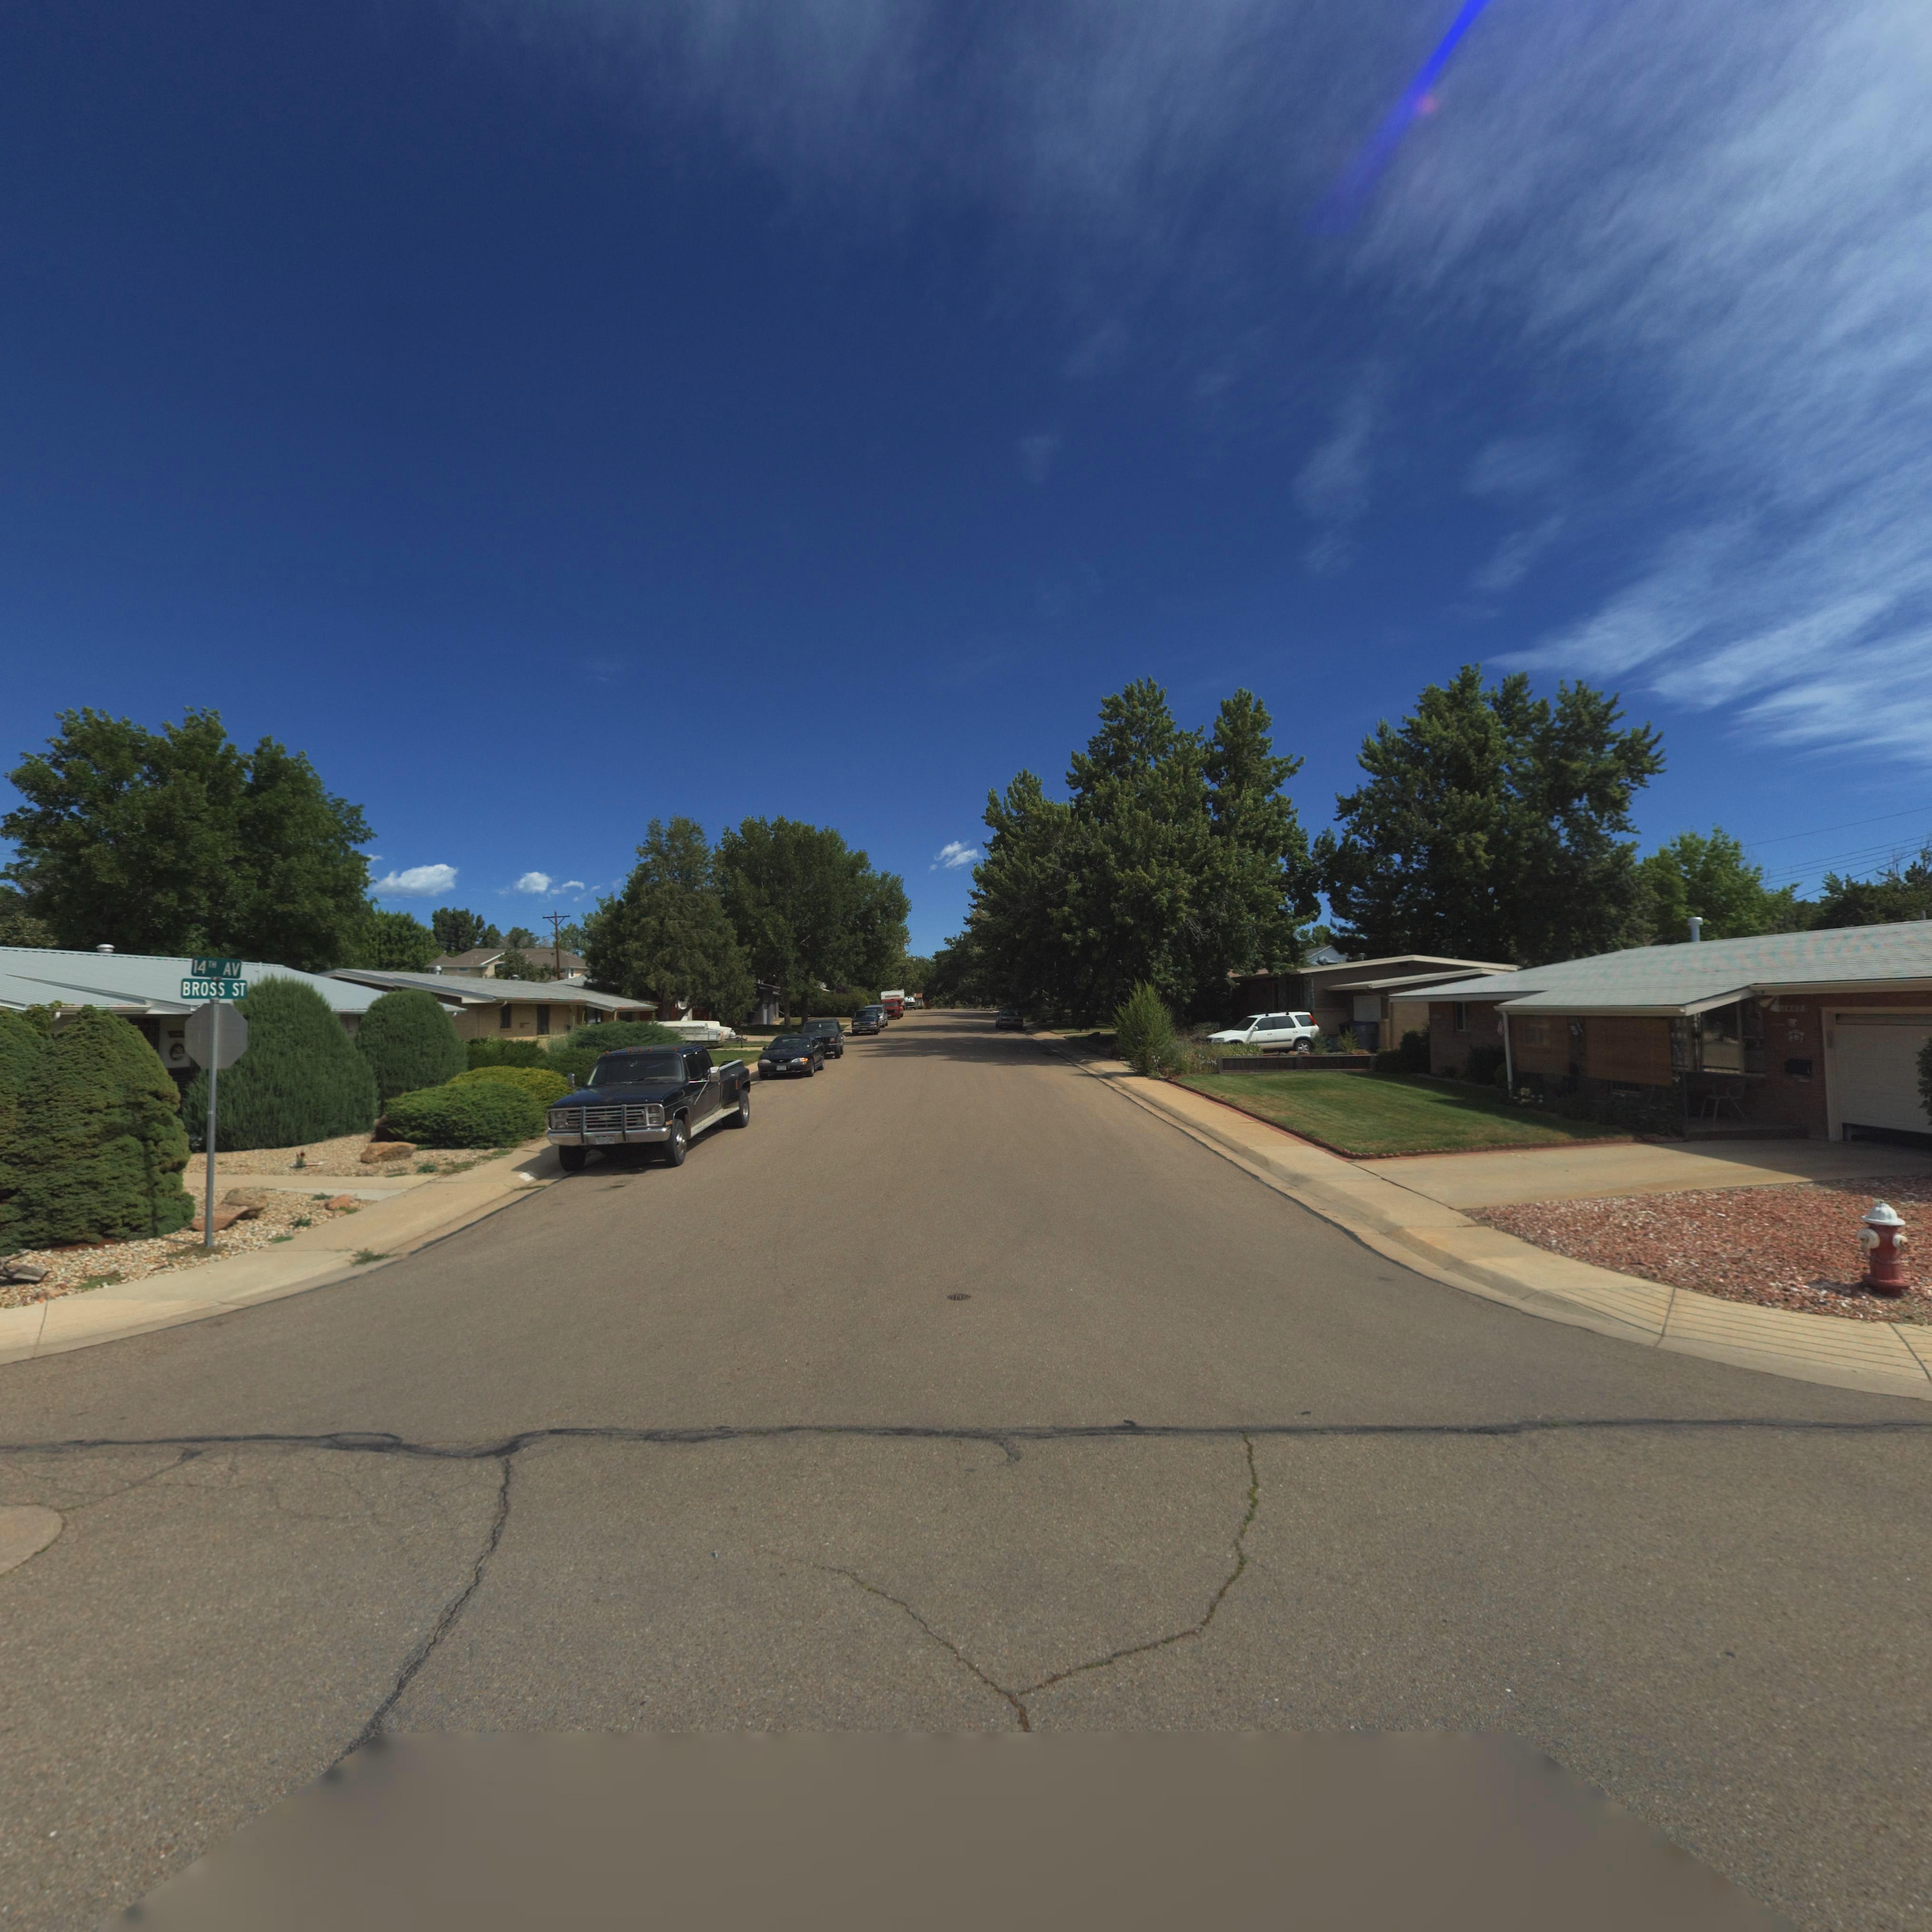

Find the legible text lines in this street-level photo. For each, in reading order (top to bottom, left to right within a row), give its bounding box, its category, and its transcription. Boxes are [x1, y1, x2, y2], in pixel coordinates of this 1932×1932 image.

[193, 959, 241, 976] StreetName: 14ST AV
[182, 981, 246, 996] StreetName: BROSS ST
[1781, 1005, 1803, 1012] StreetNumber: 14*2